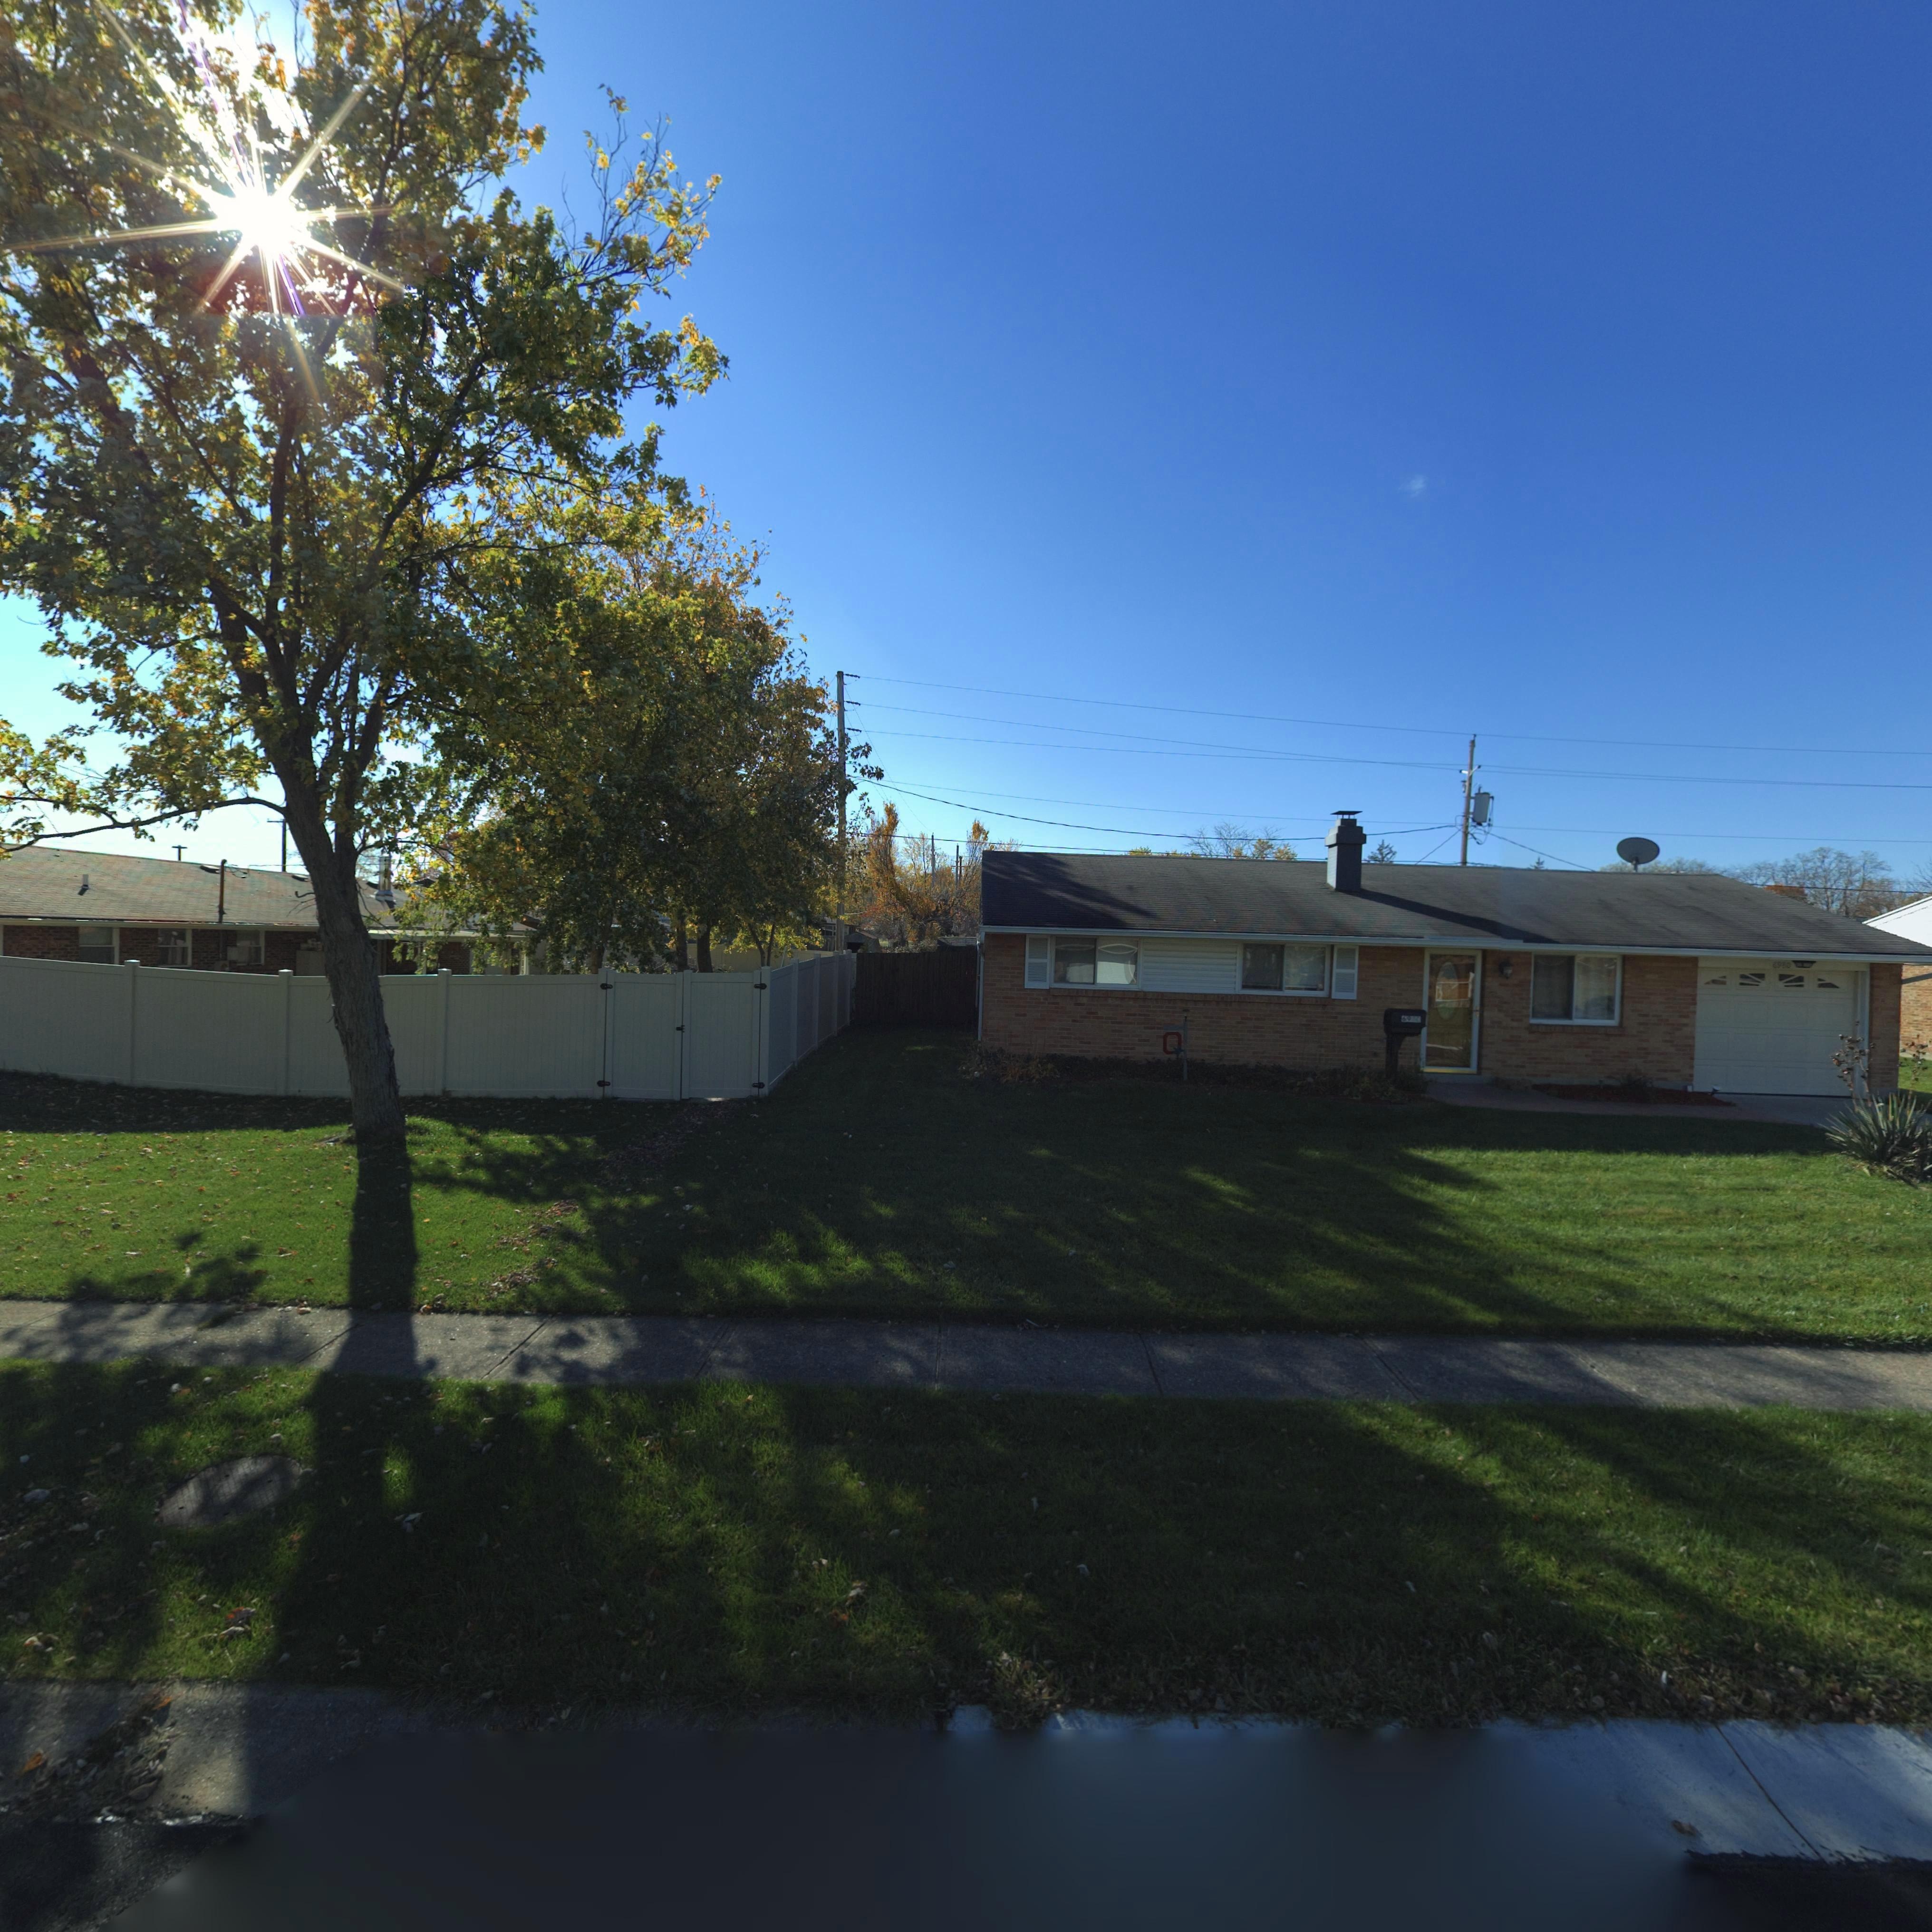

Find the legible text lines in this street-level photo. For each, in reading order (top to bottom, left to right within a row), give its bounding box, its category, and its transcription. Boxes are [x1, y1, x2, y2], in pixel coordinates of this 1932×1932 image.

[1771, 961, 1791, 969] StreetNumber: 6980
[1401, 1015, 1421, 1023] StreetNumber: 6980